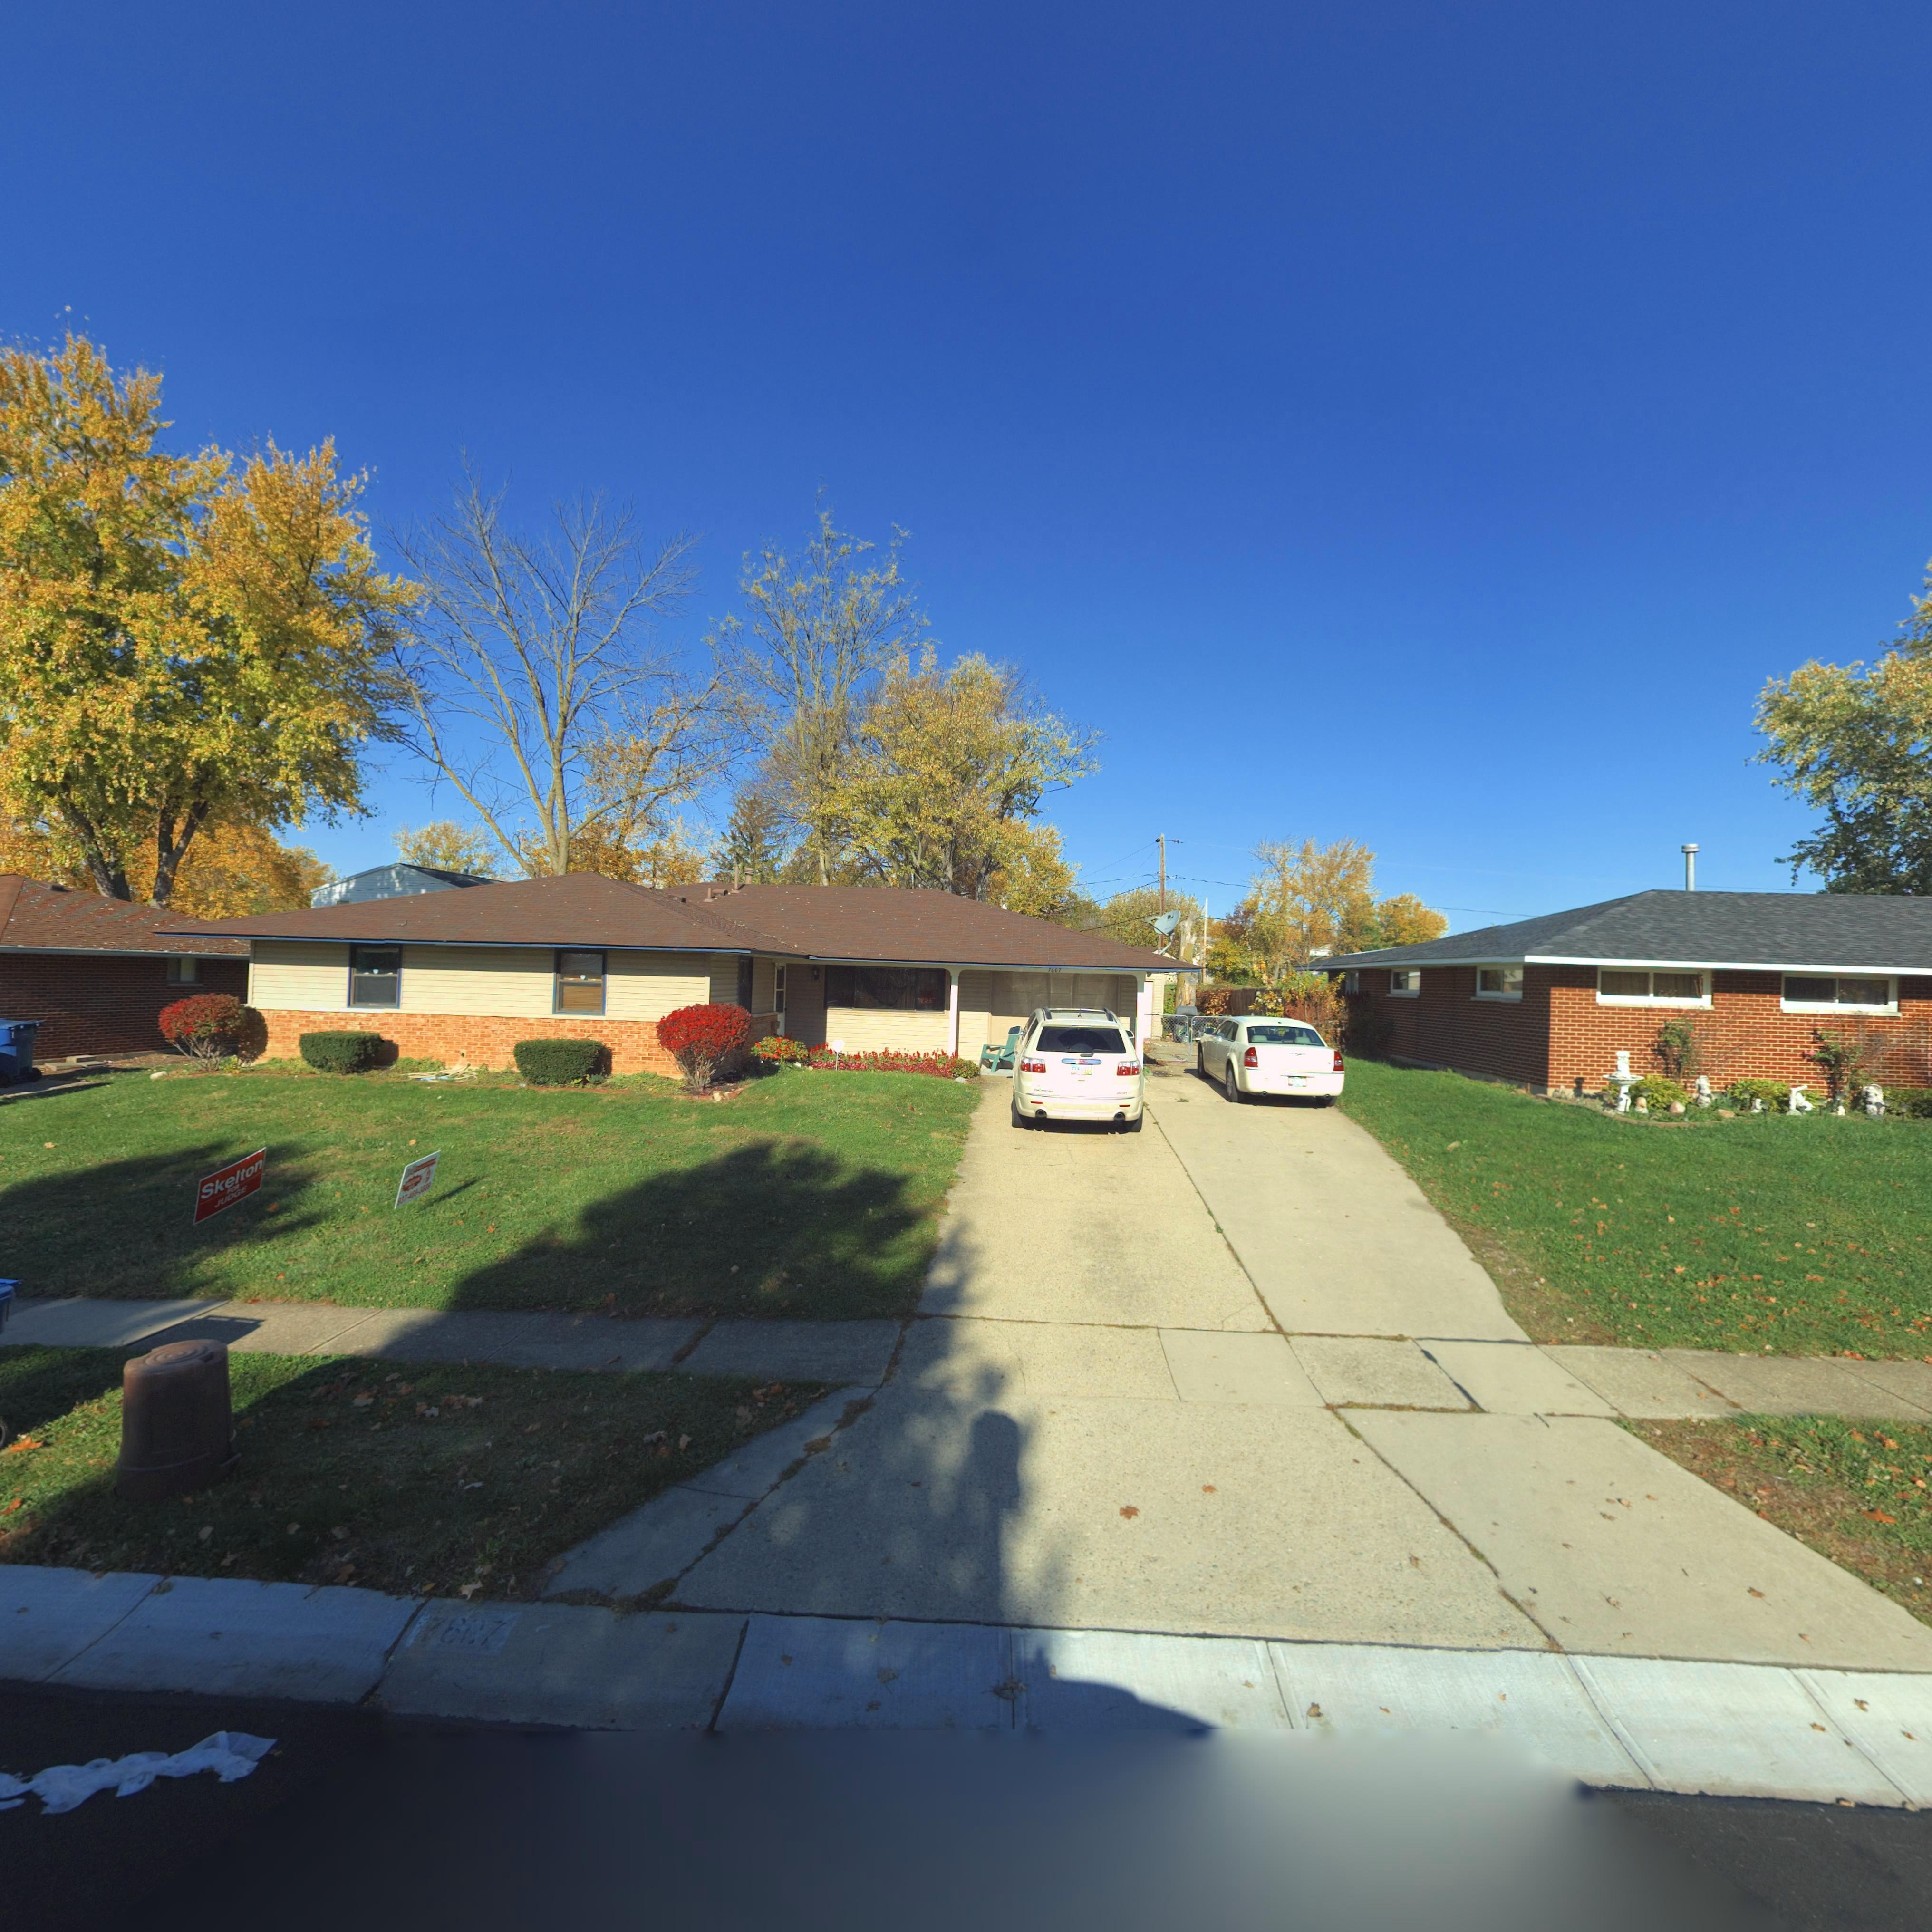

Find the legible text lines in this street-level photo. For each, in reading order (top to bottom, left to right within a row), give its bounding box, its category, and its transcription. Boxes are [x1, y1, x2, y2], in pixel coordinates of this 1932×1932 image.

[1047, 967, 1063, 973] StreetNumber: 7607
[416, 1614, 510, 1650] StreetNumber: 7**7